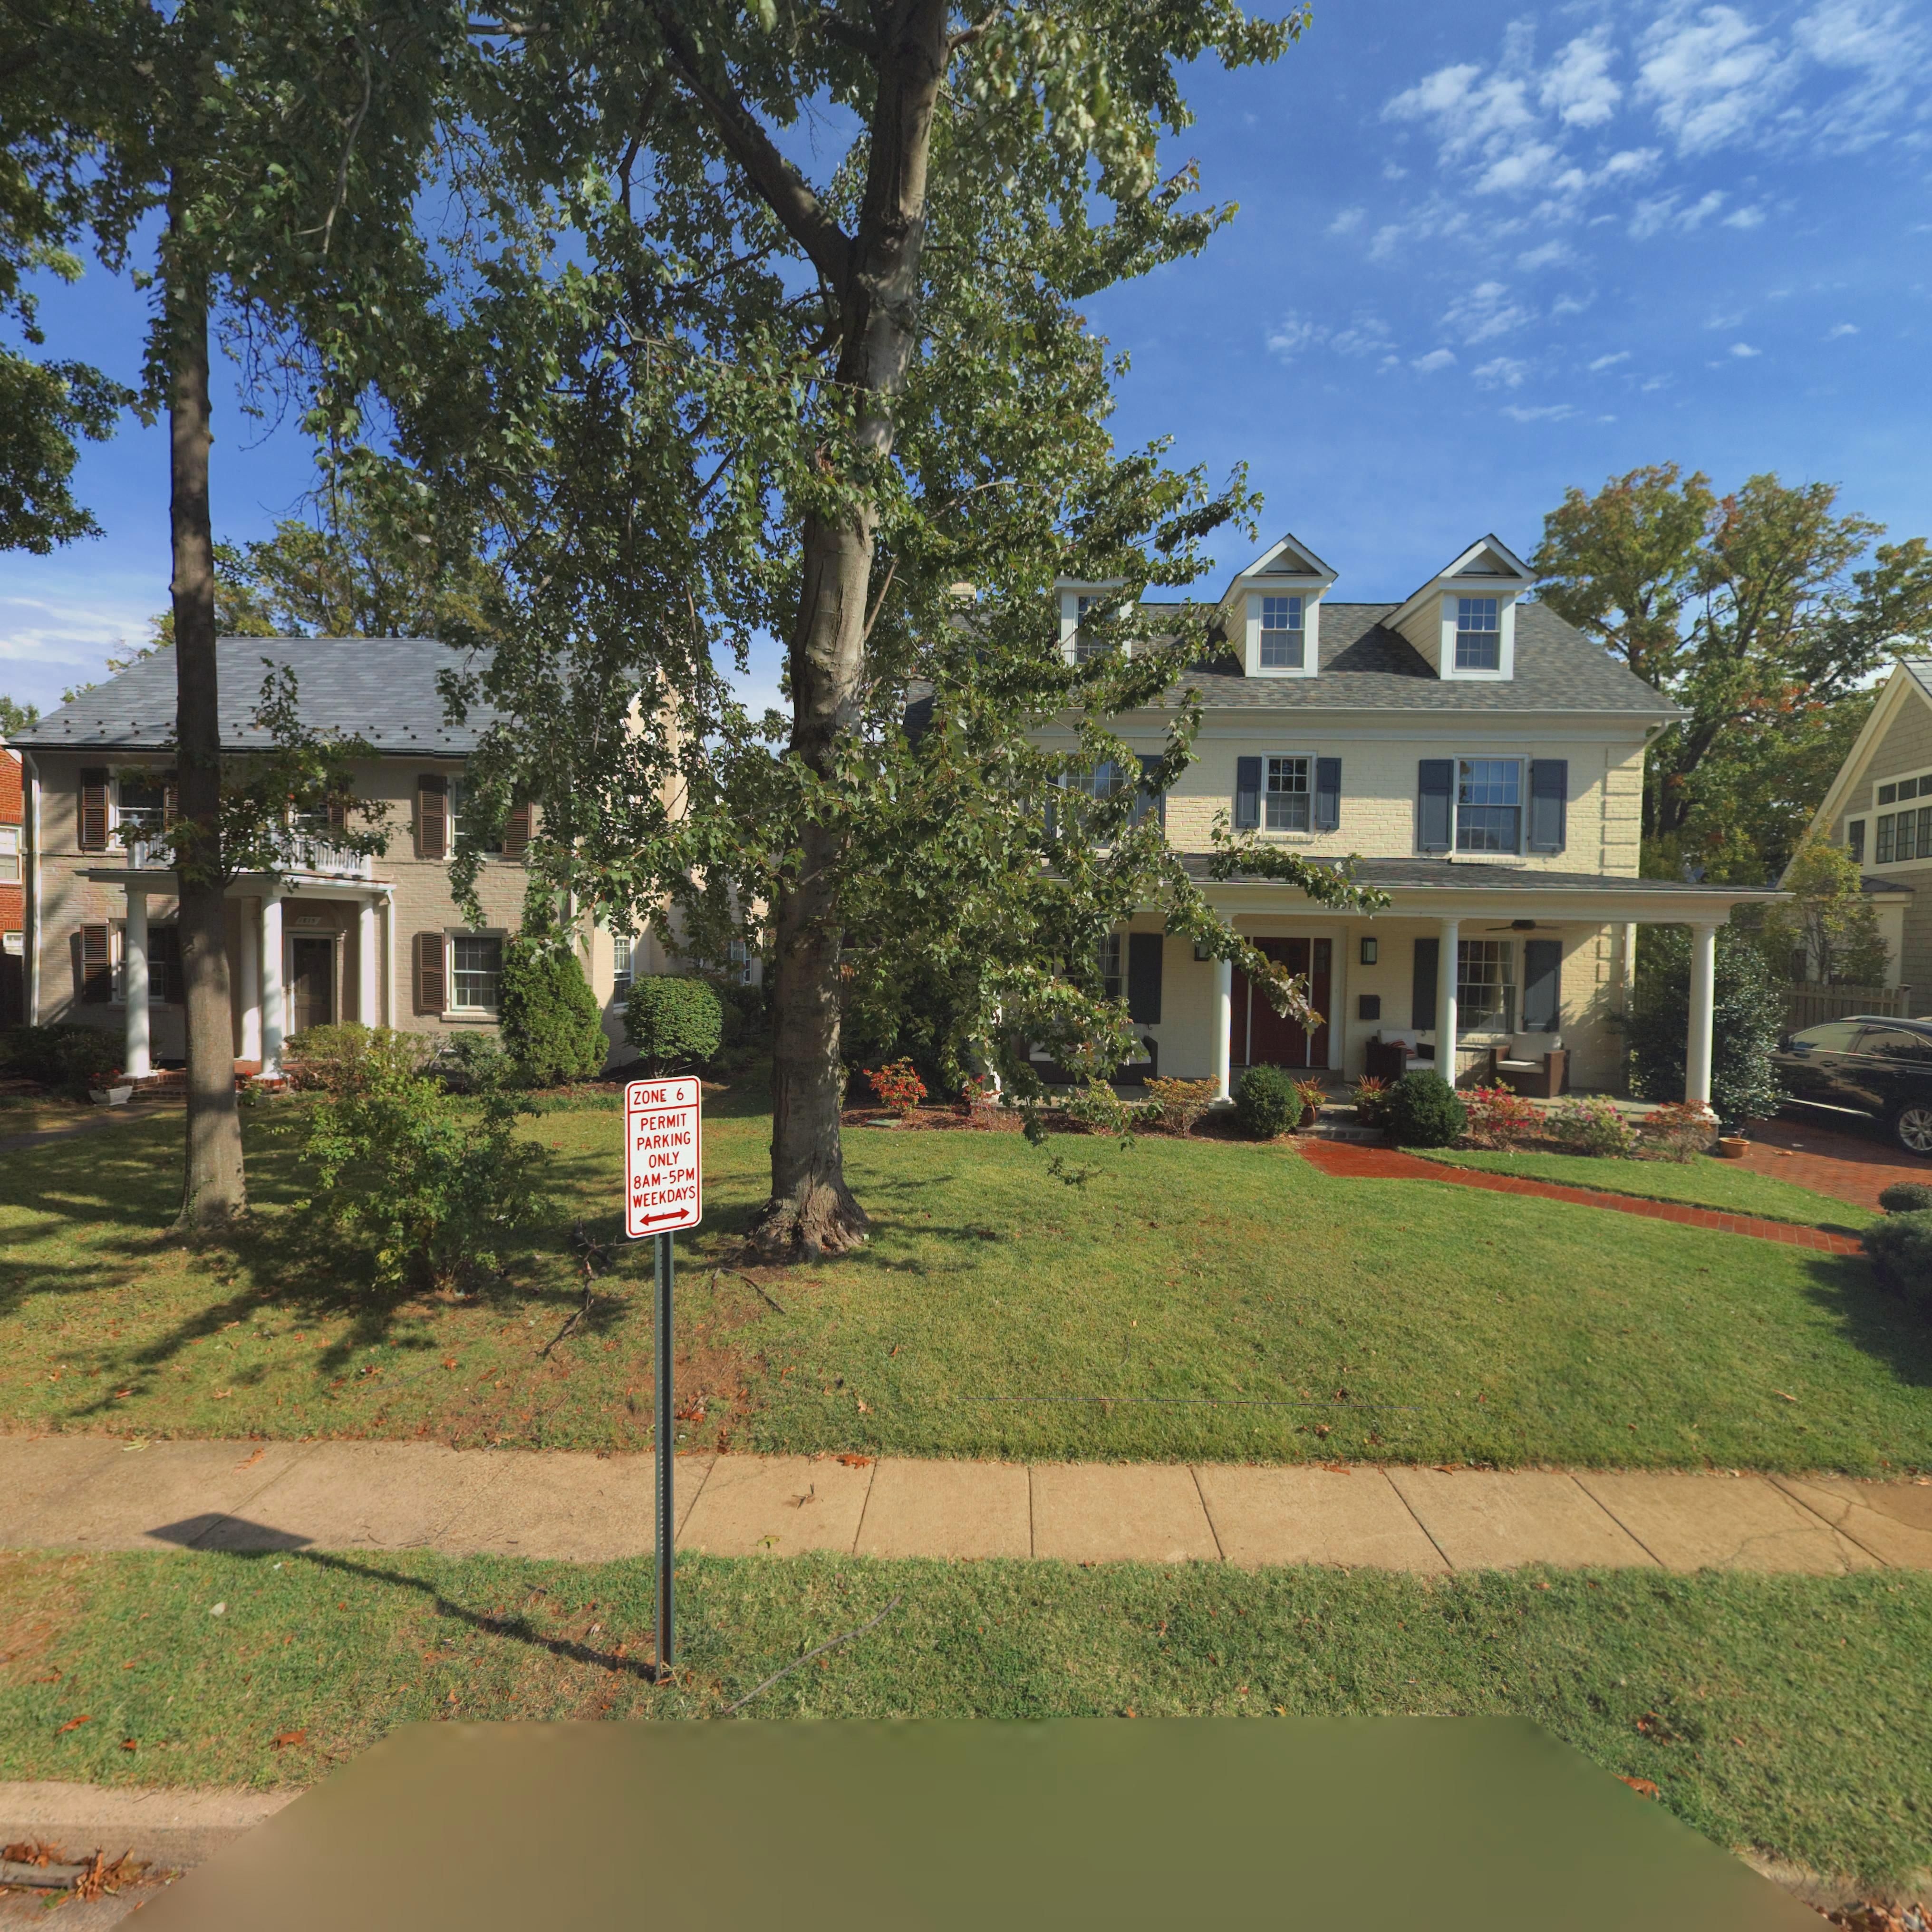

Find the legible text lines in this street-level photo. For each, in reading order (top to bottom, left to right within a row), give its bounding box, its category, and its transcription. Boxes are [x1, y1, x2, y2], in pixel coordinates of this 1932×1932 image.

[297, 916, 317, 924] StreetNumber: 1815
[632, 1086, 686, 1106] None: ZONE 6
[639, 1112, 687, 1133] None: PERMIT
[636, 1130, 692, 1152] None: PARKING
[647, 1150, 681, 1170] None: ONLY
[632, 1165, 696, 1191] None: 8AM-5PM
[631, 1184, 697, 1210] None: WEEKDAYS